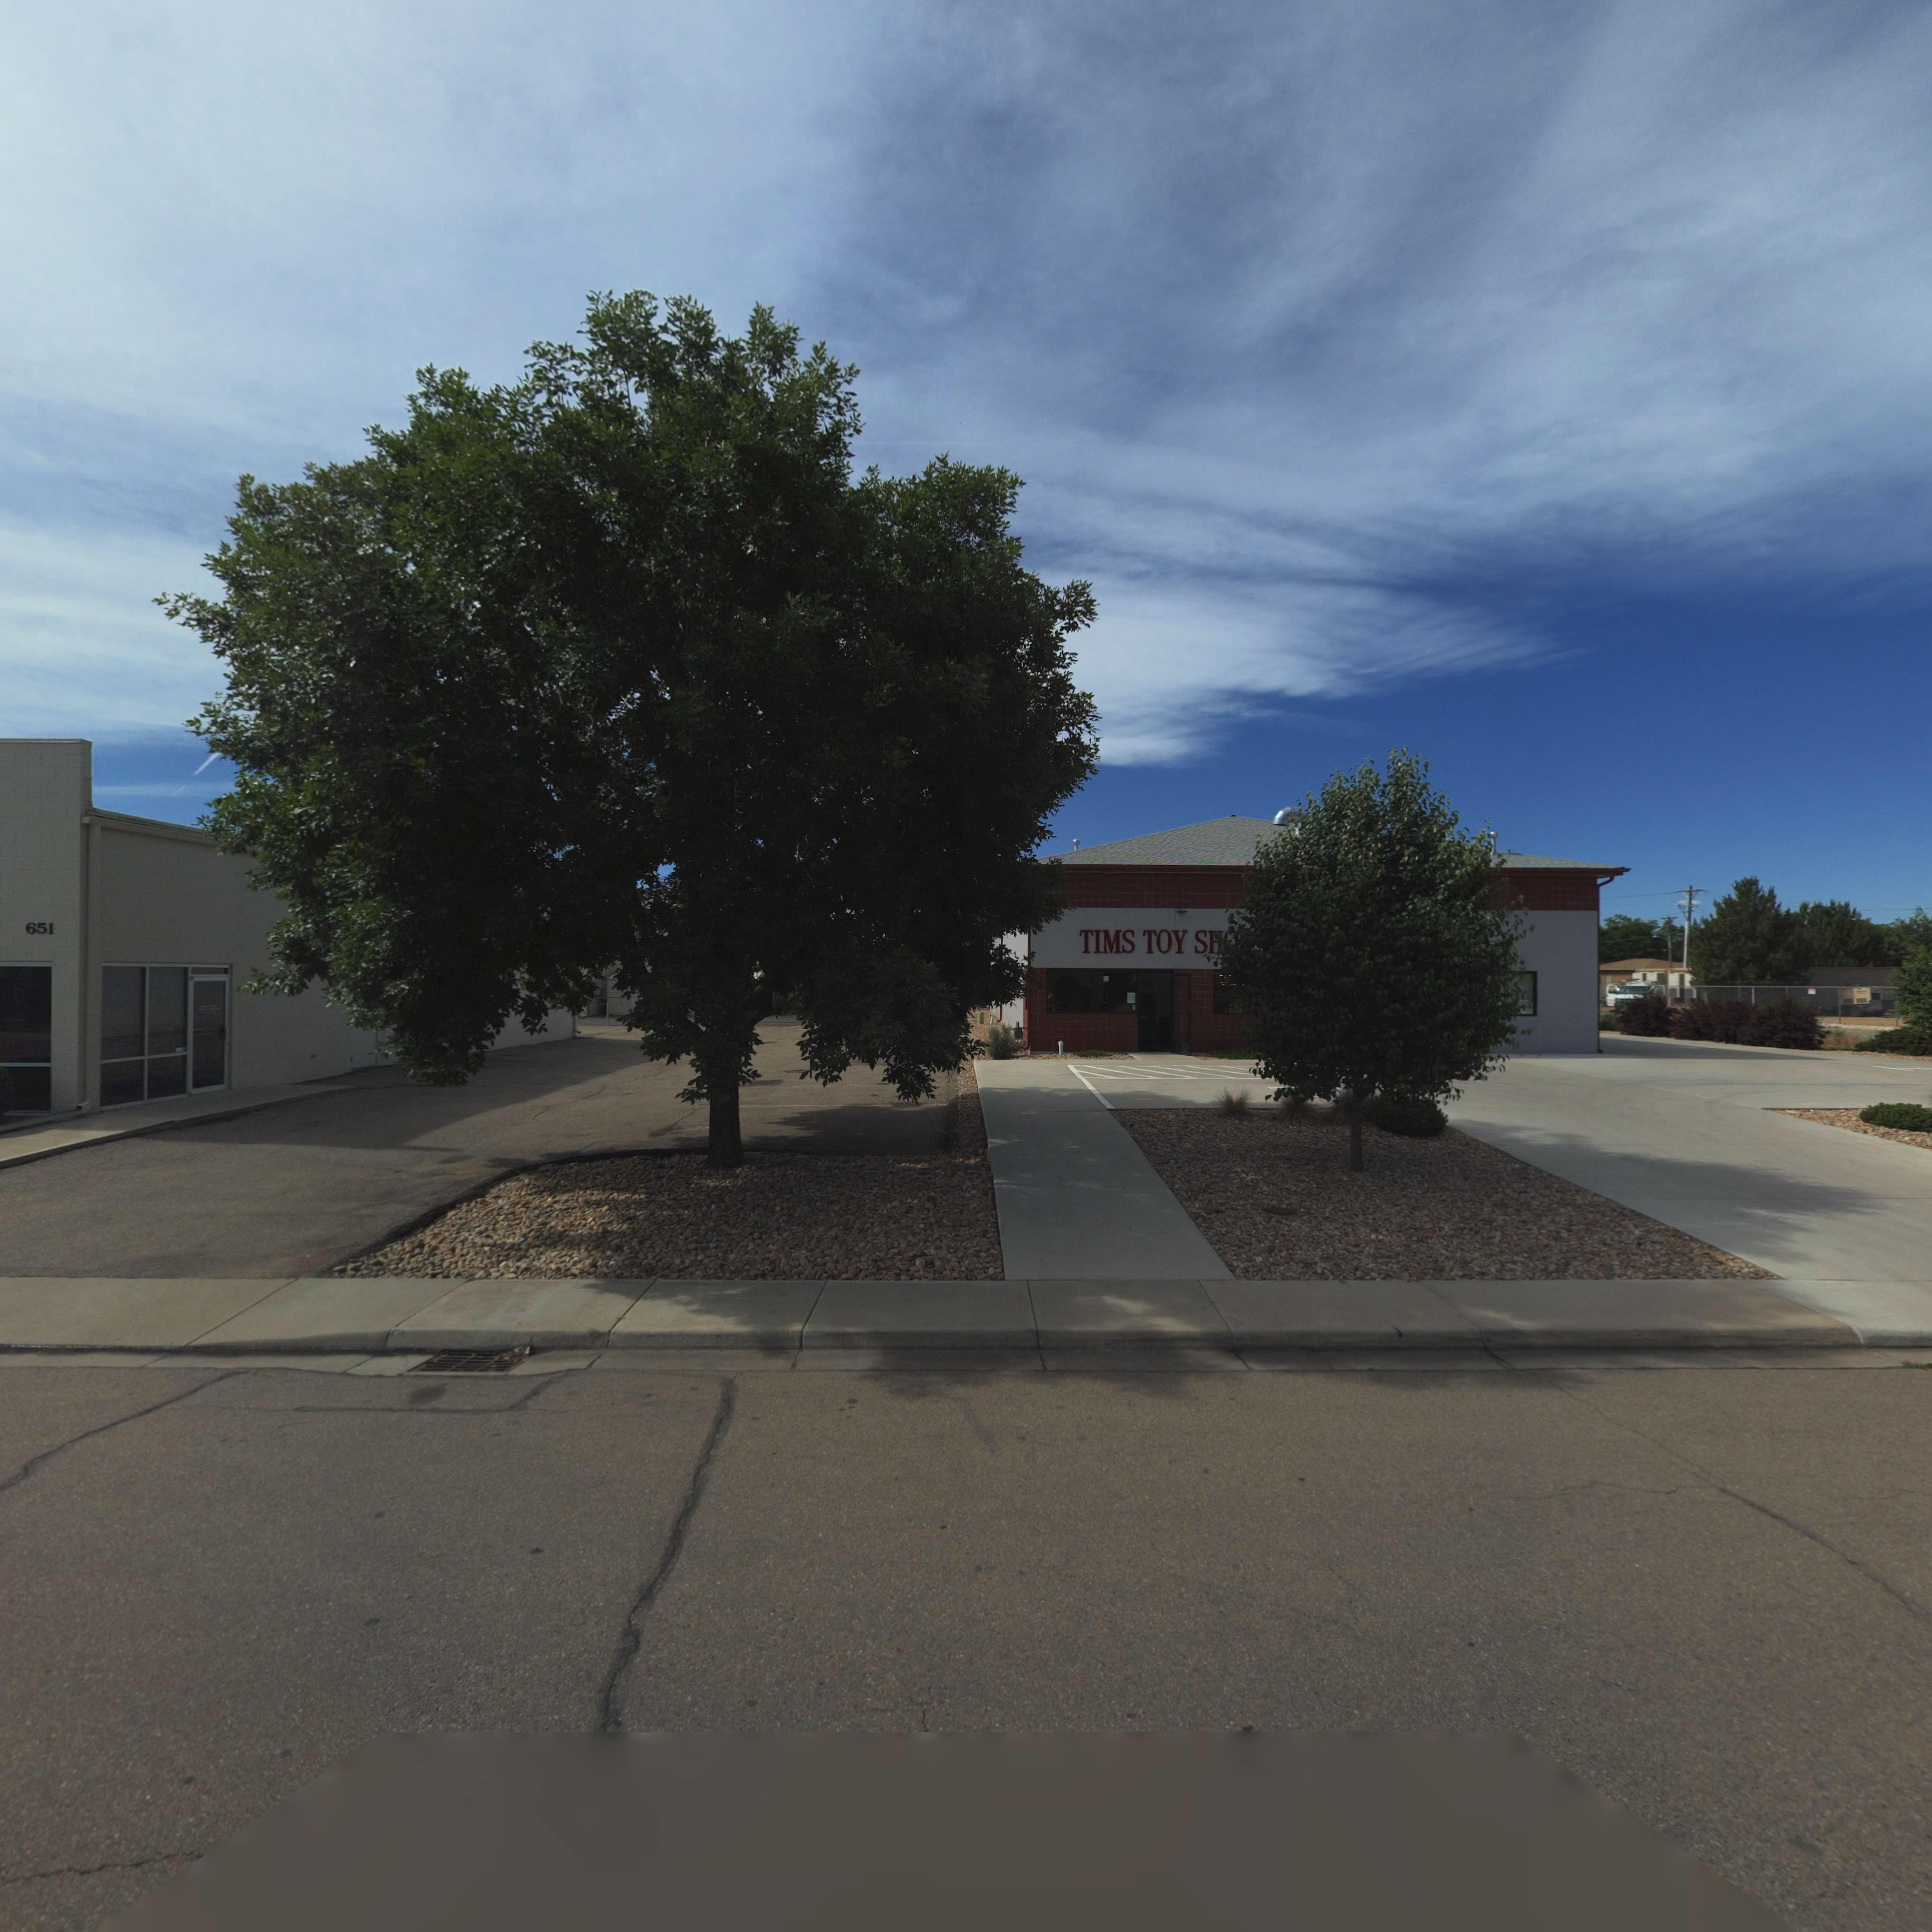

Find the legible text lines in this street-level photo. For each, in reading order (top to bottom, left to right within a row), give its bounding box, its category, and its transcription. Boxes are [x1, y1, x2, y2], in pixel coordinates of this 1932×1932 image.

[26, 922, 53, 934] StreetNumber: 651
[1079, 928, 1224, 954] BusinessName: TIMS TOY S*